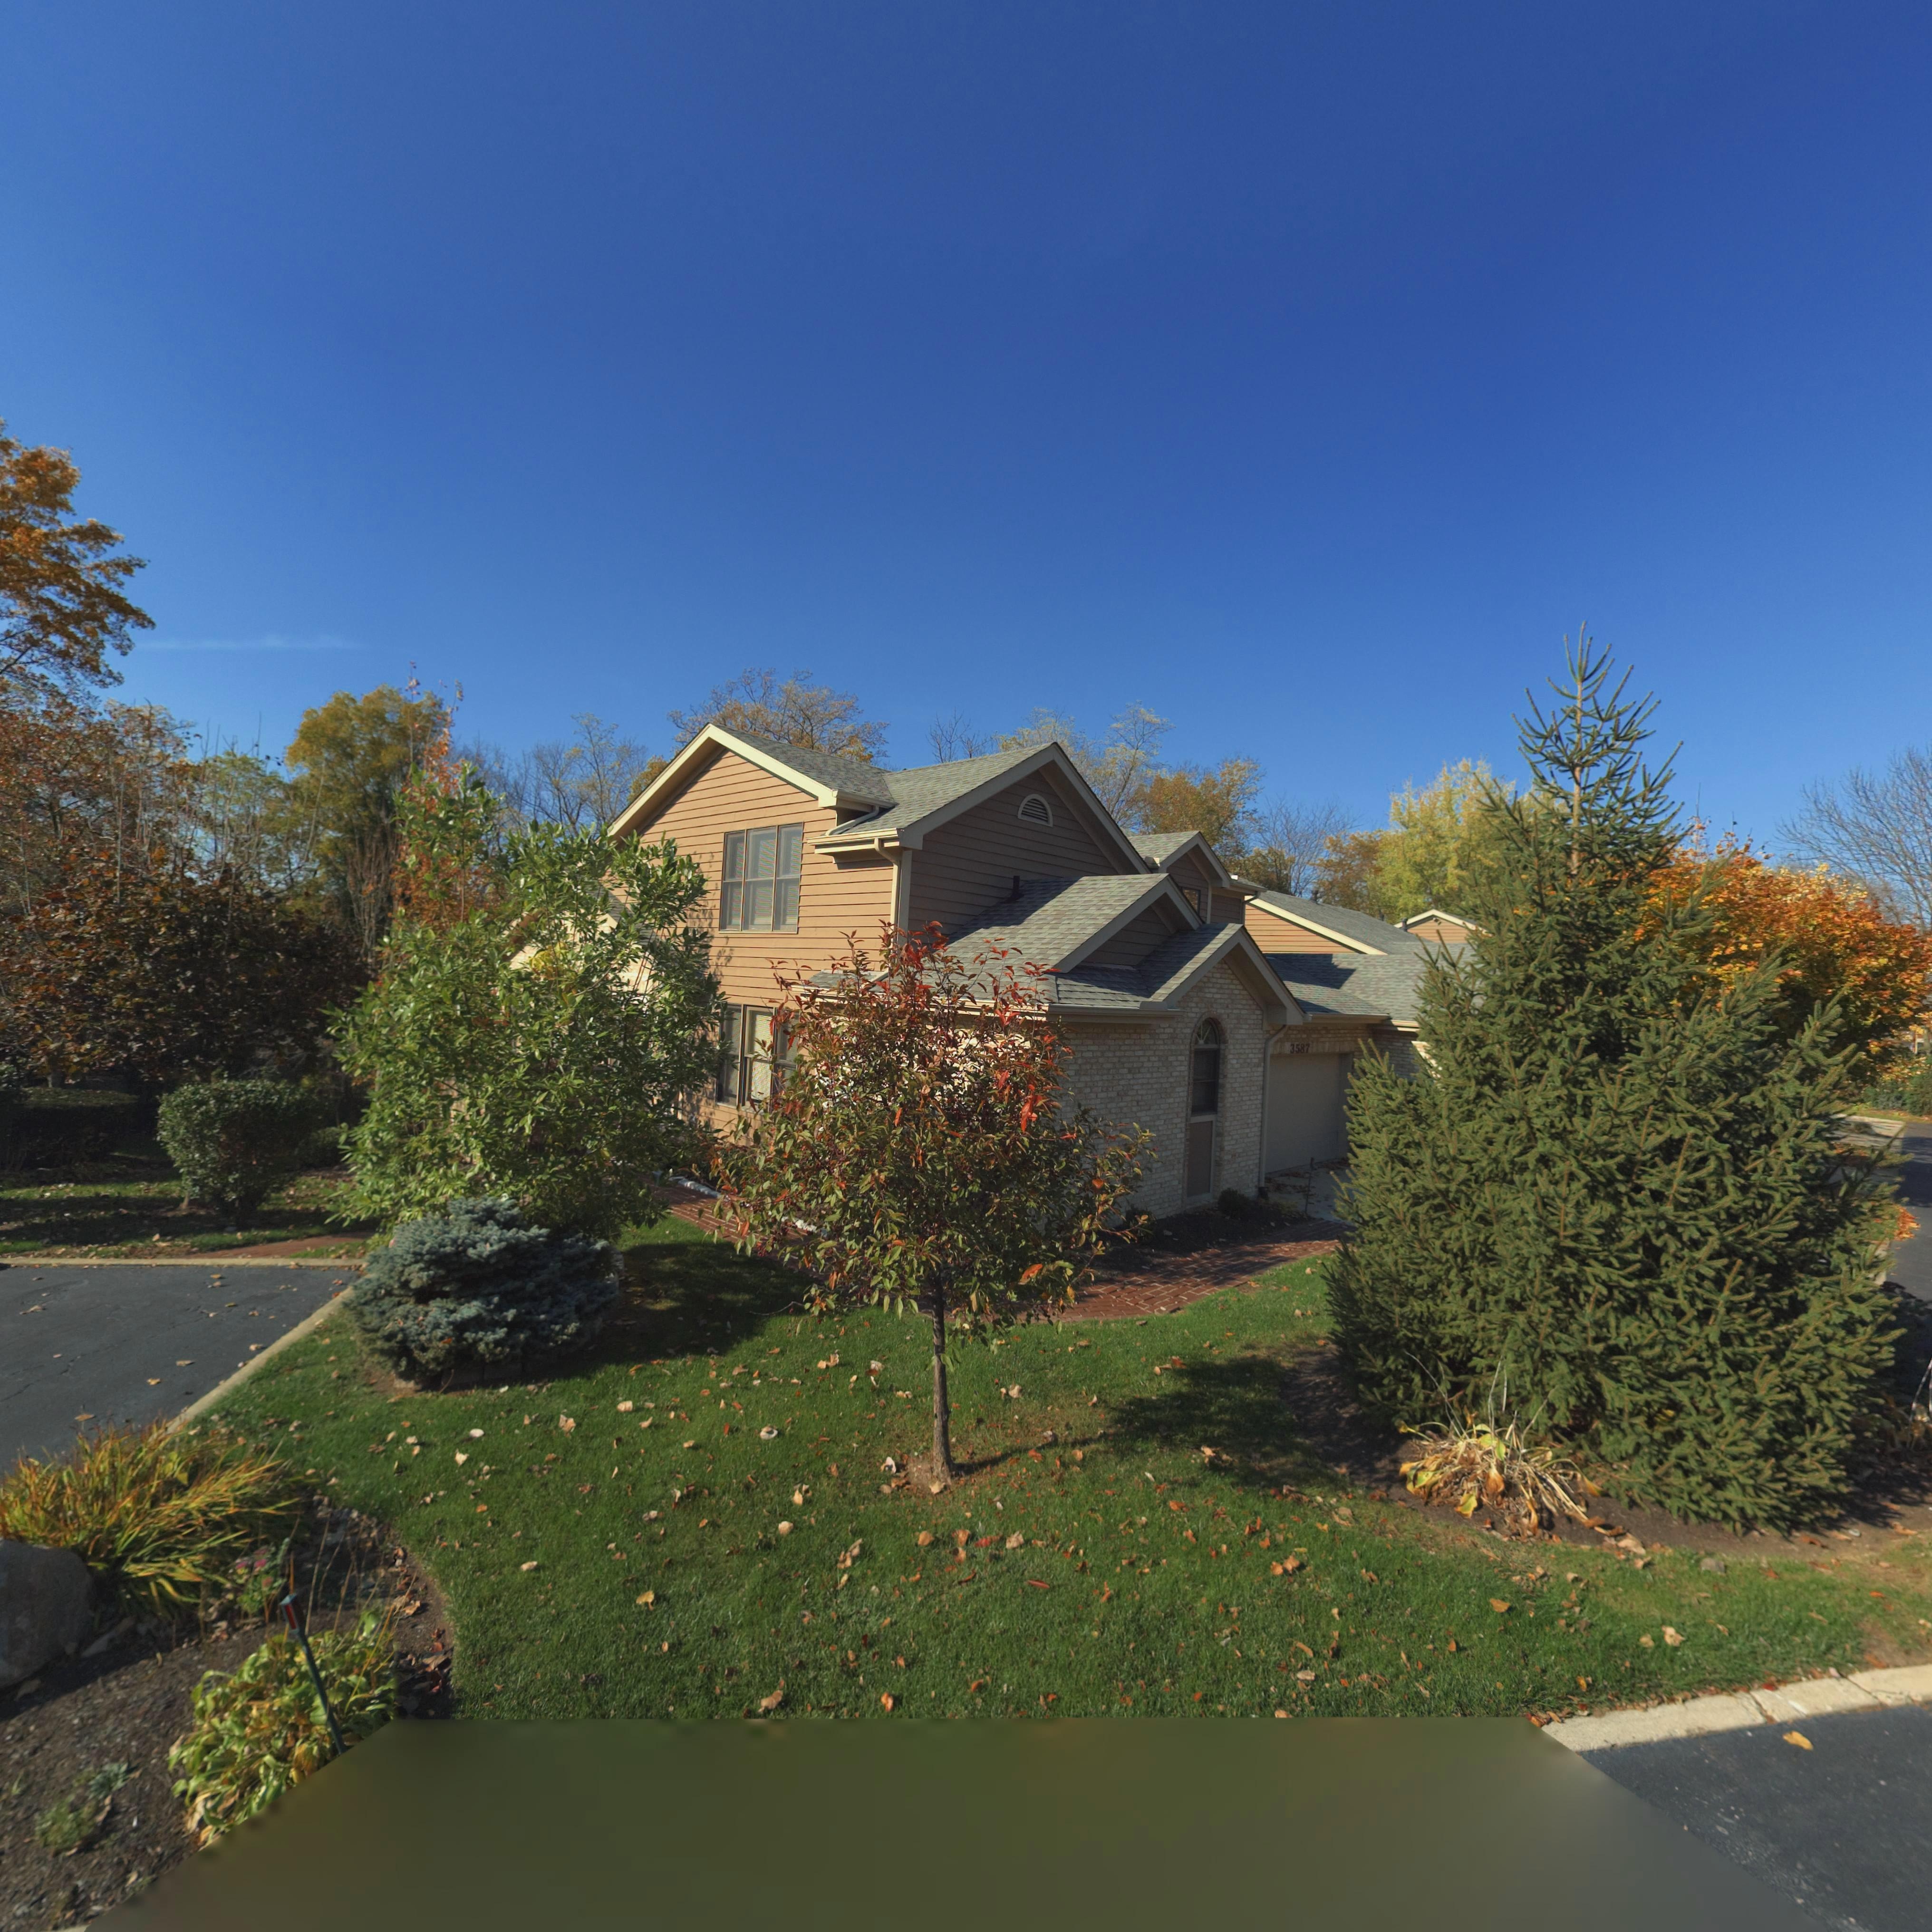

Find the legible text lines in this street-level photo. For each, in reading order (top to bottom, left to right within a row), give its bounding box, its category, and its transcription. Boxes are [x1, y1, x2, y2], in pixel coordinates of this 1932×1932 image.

[1289, 1042, 1312, 1054] StreetNumber: 3587